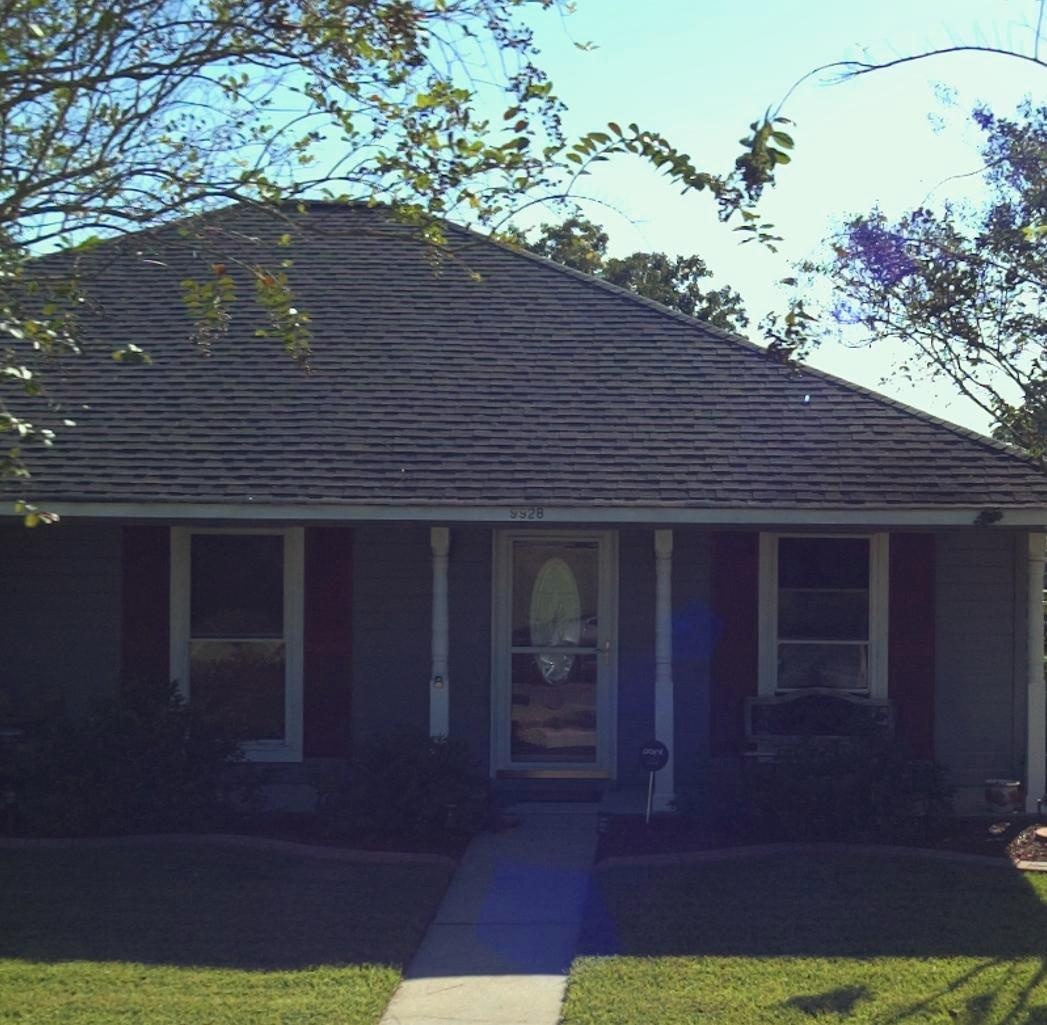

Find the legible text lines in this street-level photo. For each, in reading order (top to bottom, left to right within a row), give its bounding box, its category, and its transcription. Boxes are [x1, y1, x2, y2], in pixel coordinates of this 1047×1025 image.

[509, 507, 545, 520] StreetNumber: 9928